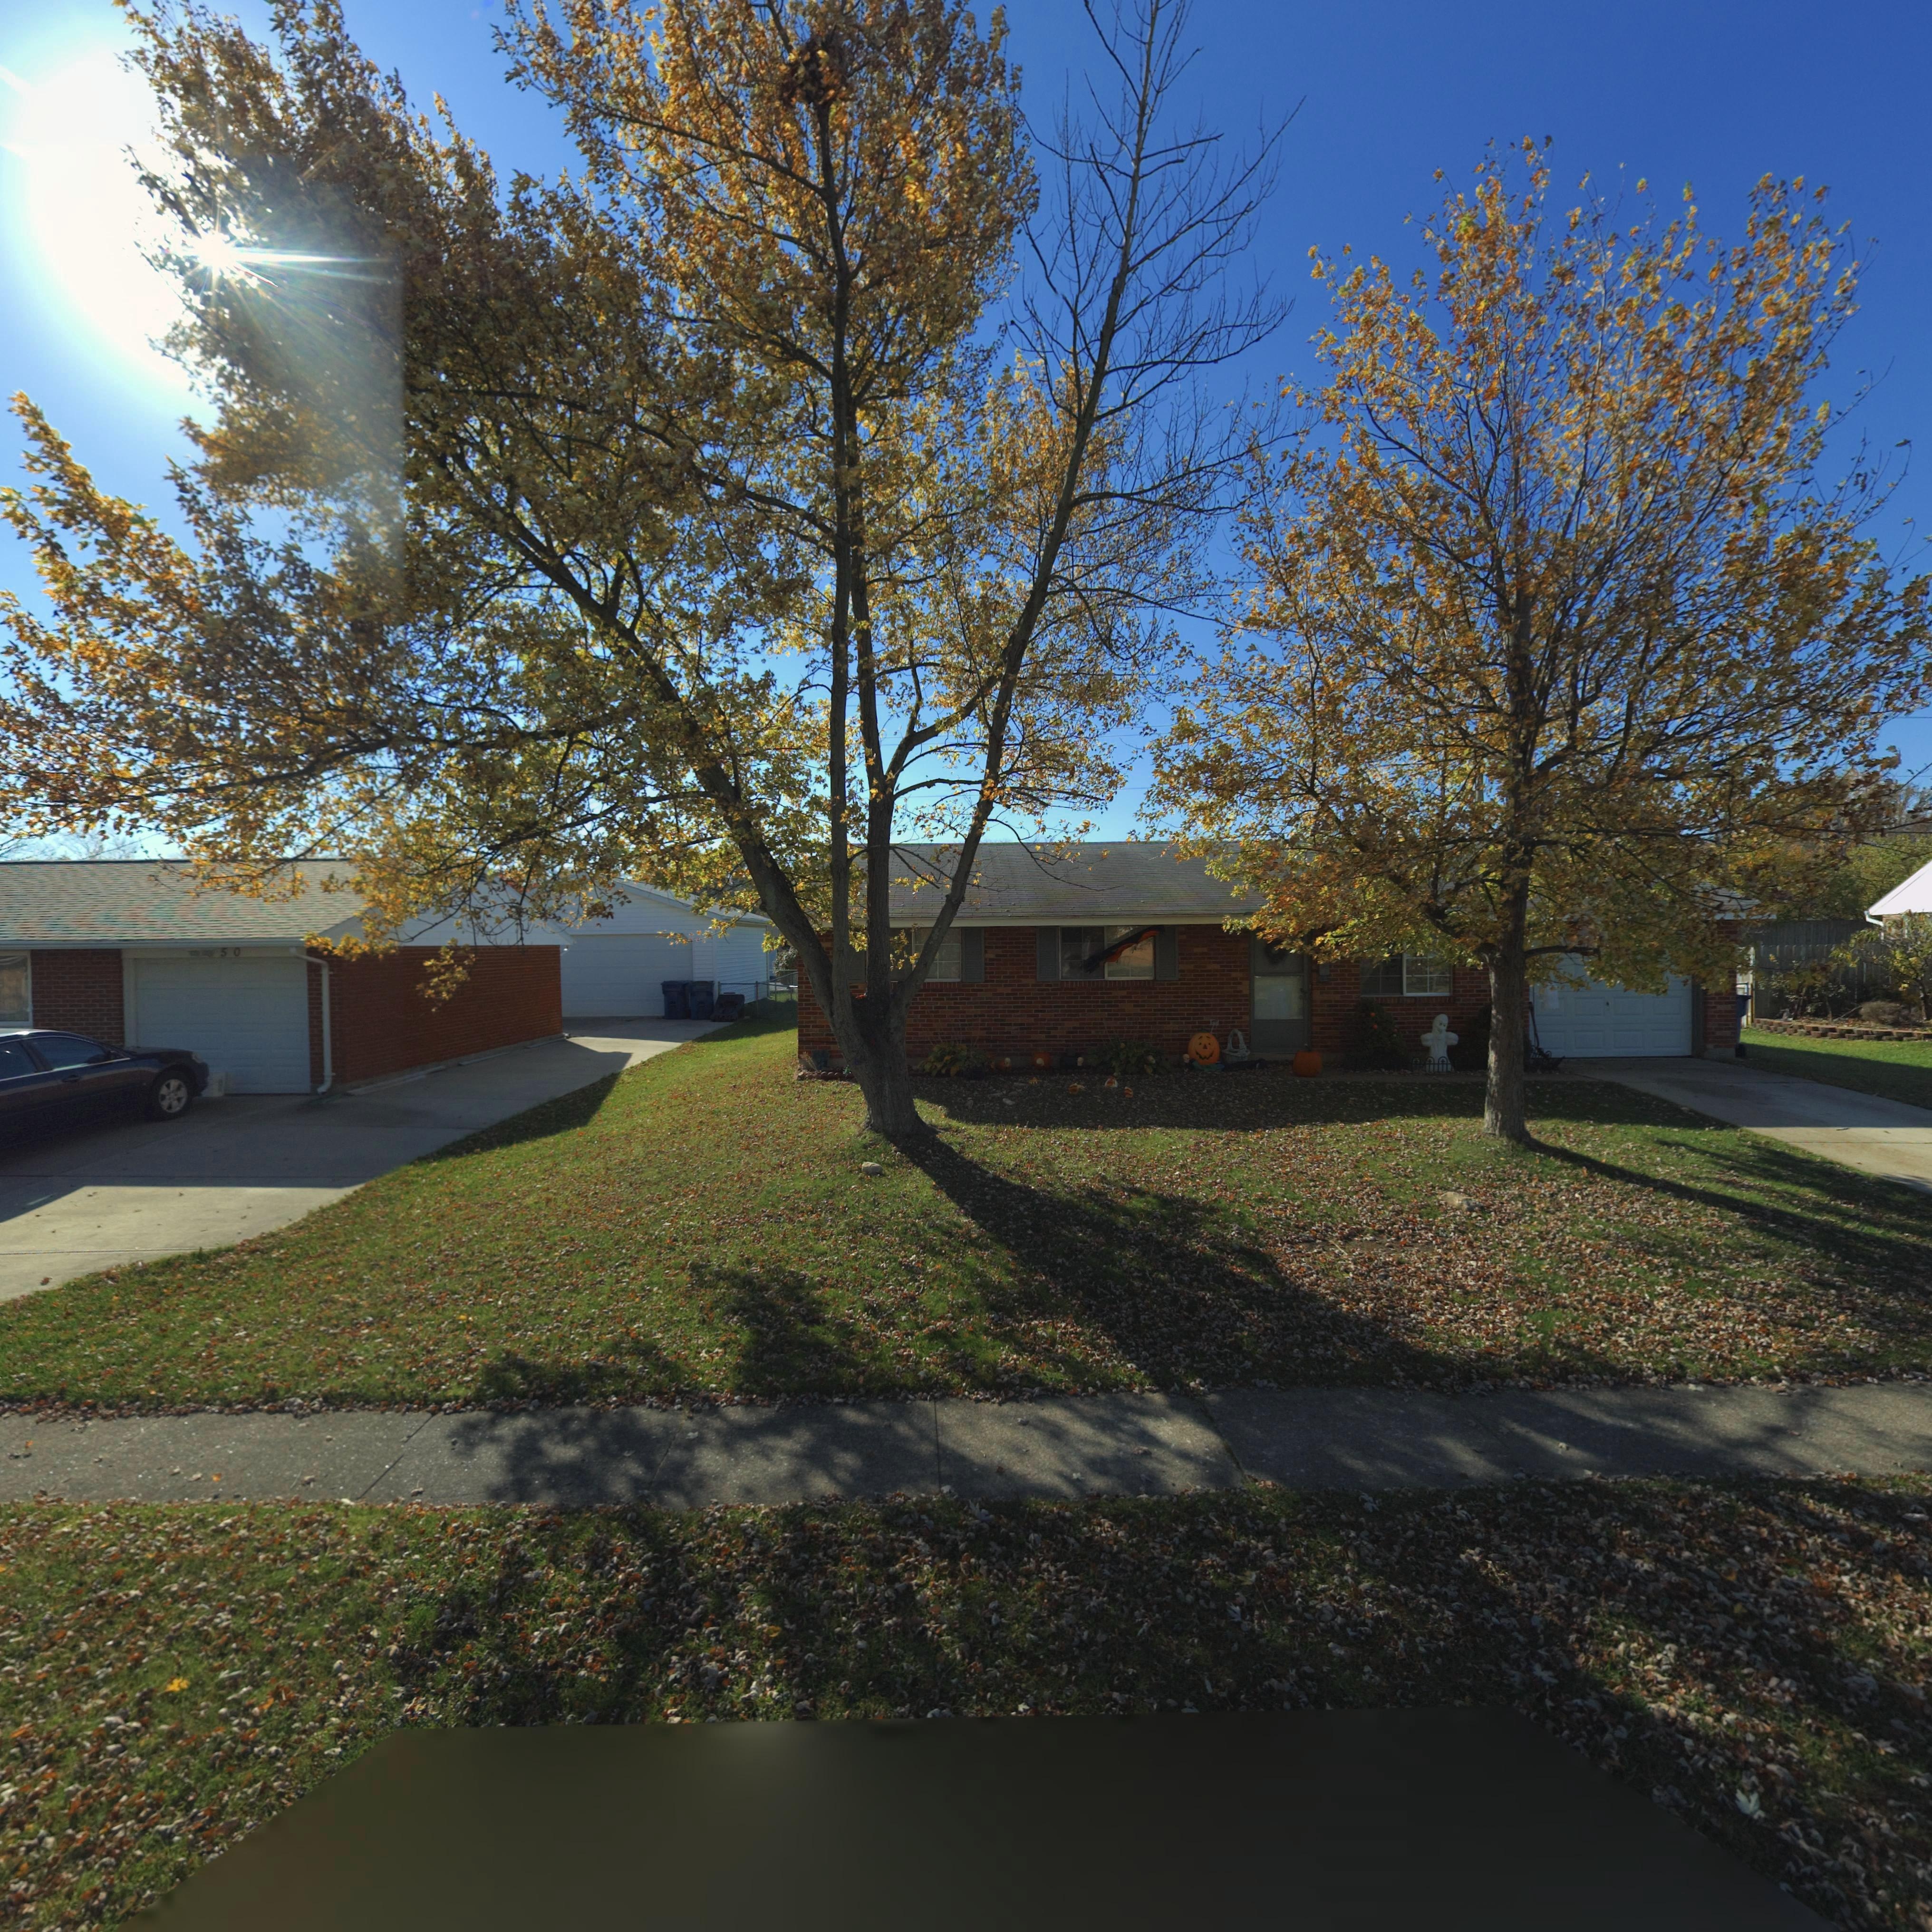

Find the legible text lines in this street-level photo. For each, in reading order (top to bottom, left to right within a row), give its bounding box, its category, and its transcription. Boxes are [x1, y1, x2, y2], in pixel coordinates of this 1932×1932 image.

[220, 947, 241, 957] StreetNumber: 50